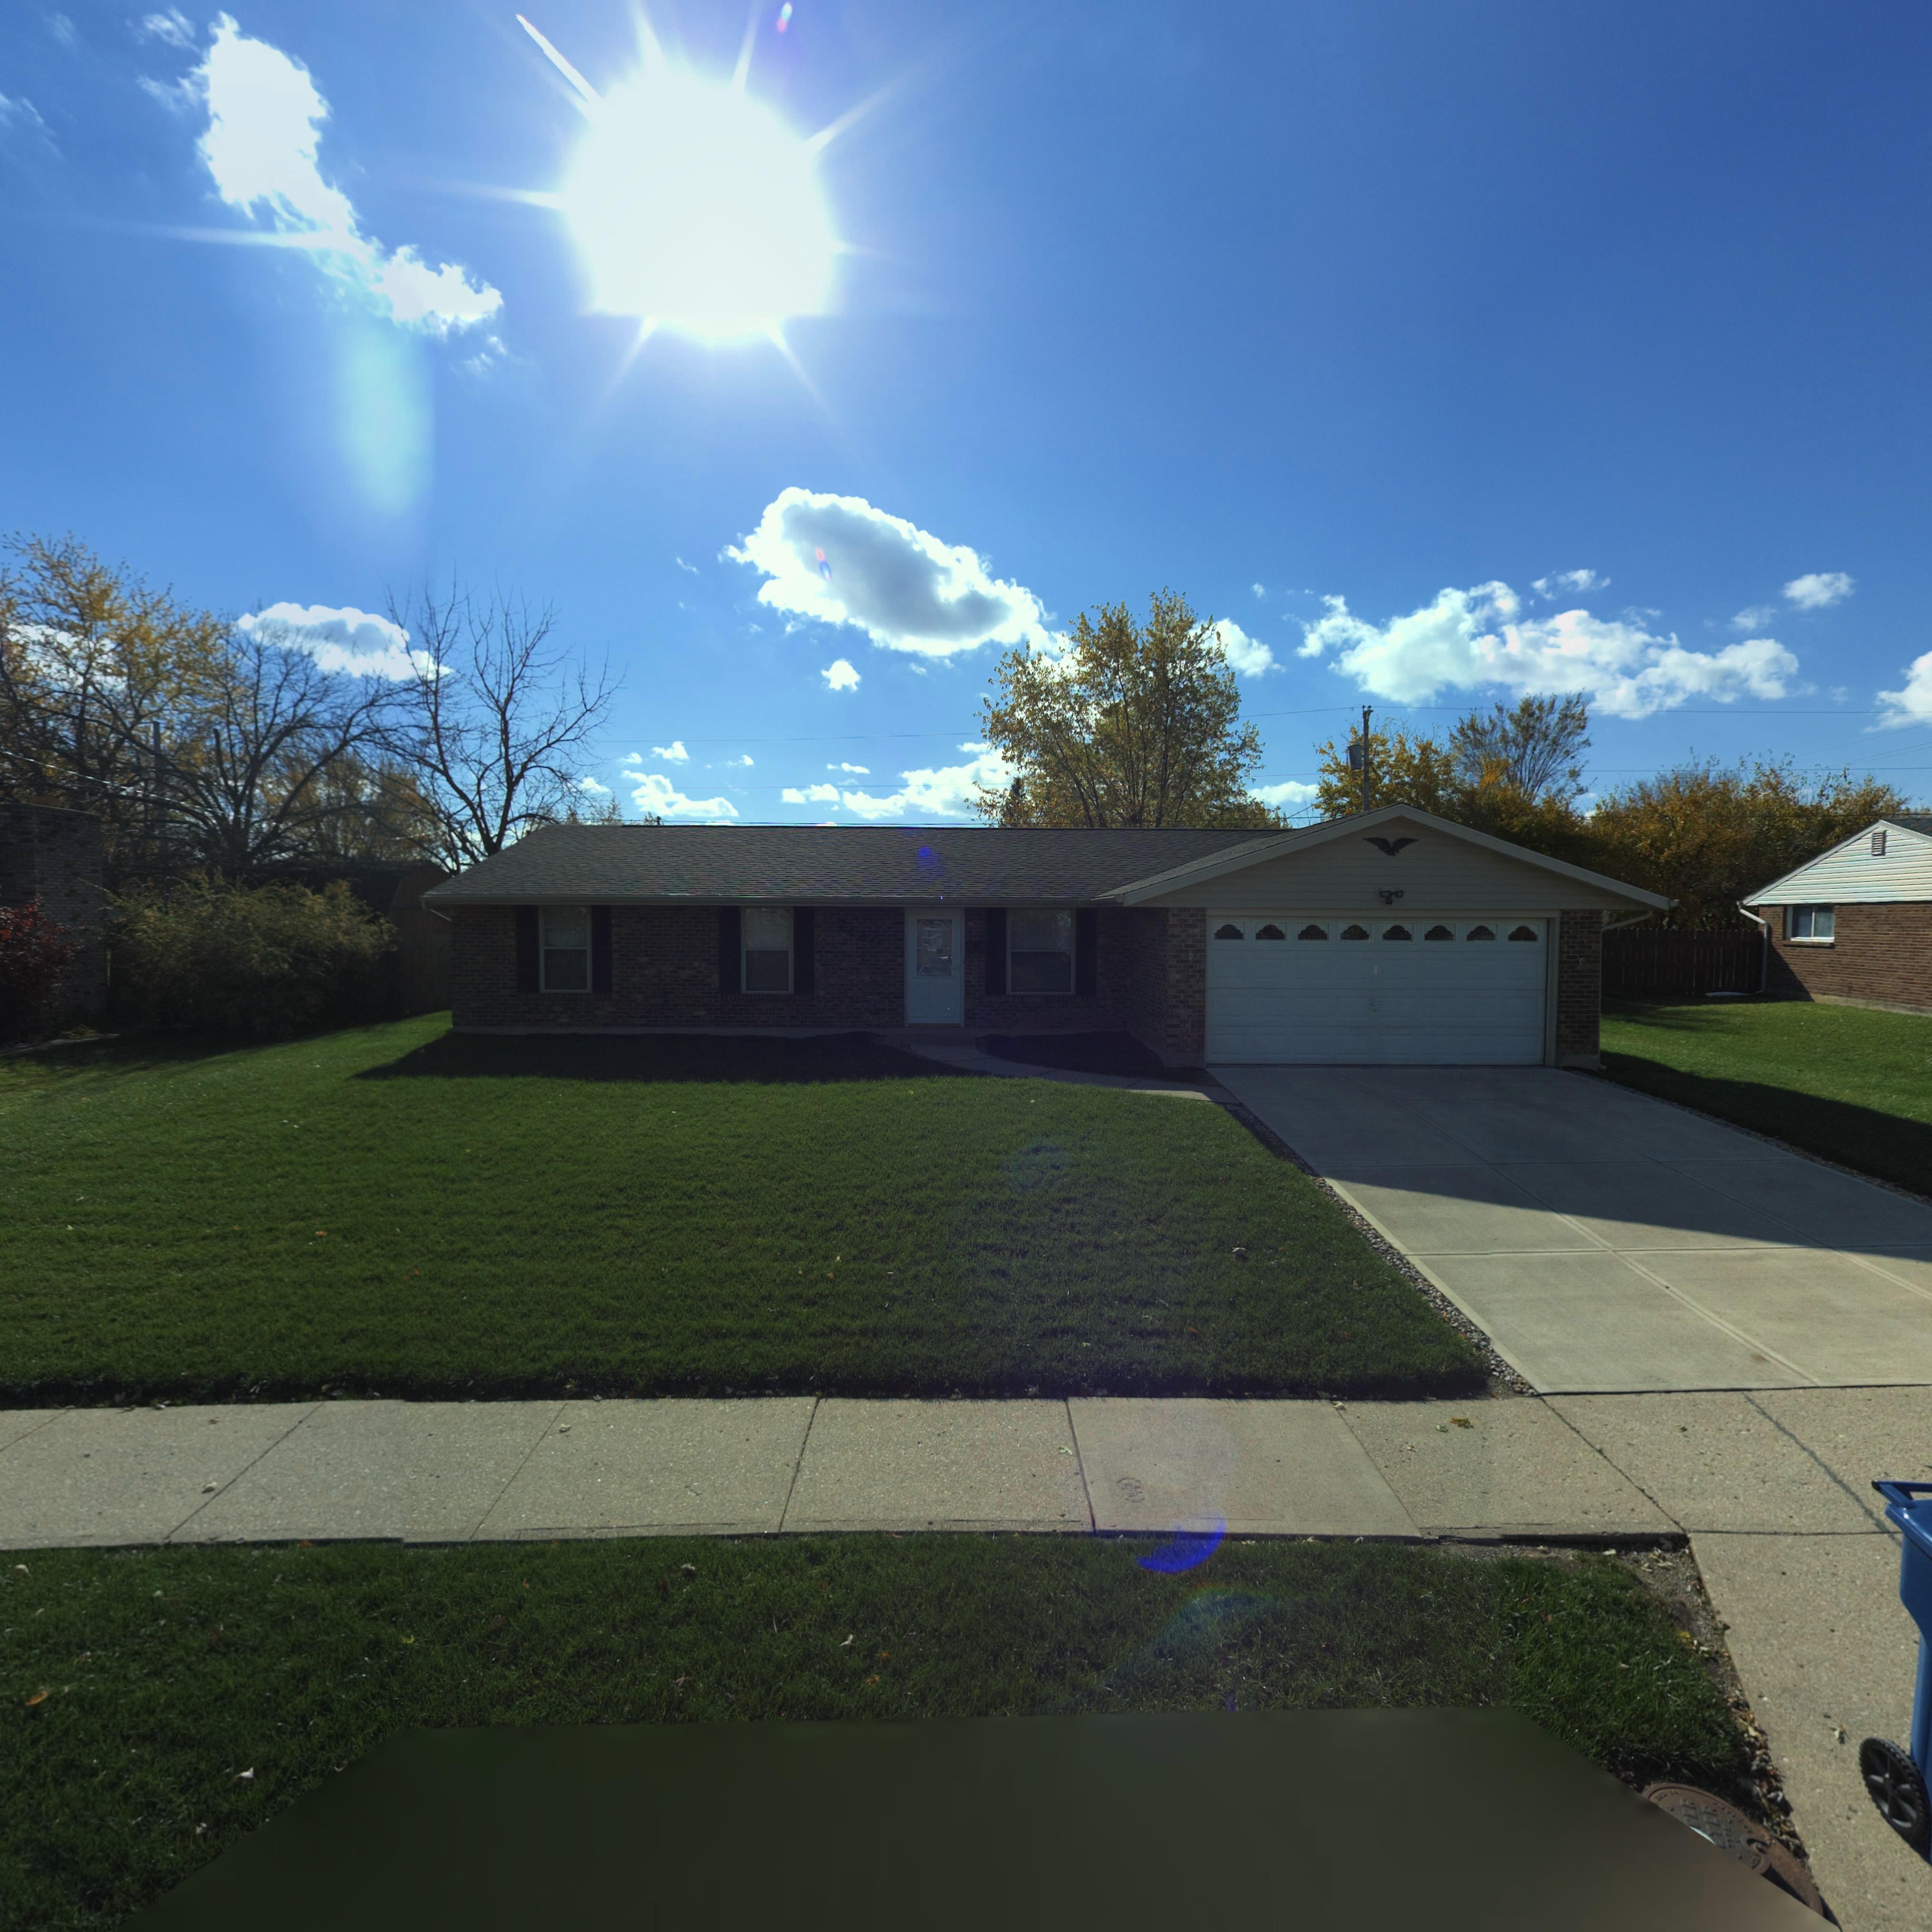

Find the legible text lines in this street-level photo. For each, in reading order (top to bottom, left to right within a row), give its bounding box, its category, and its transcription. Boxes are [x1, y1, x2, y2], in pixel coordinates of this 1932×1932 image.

[836, 917, 881, 951] StreetNumber: 7**0